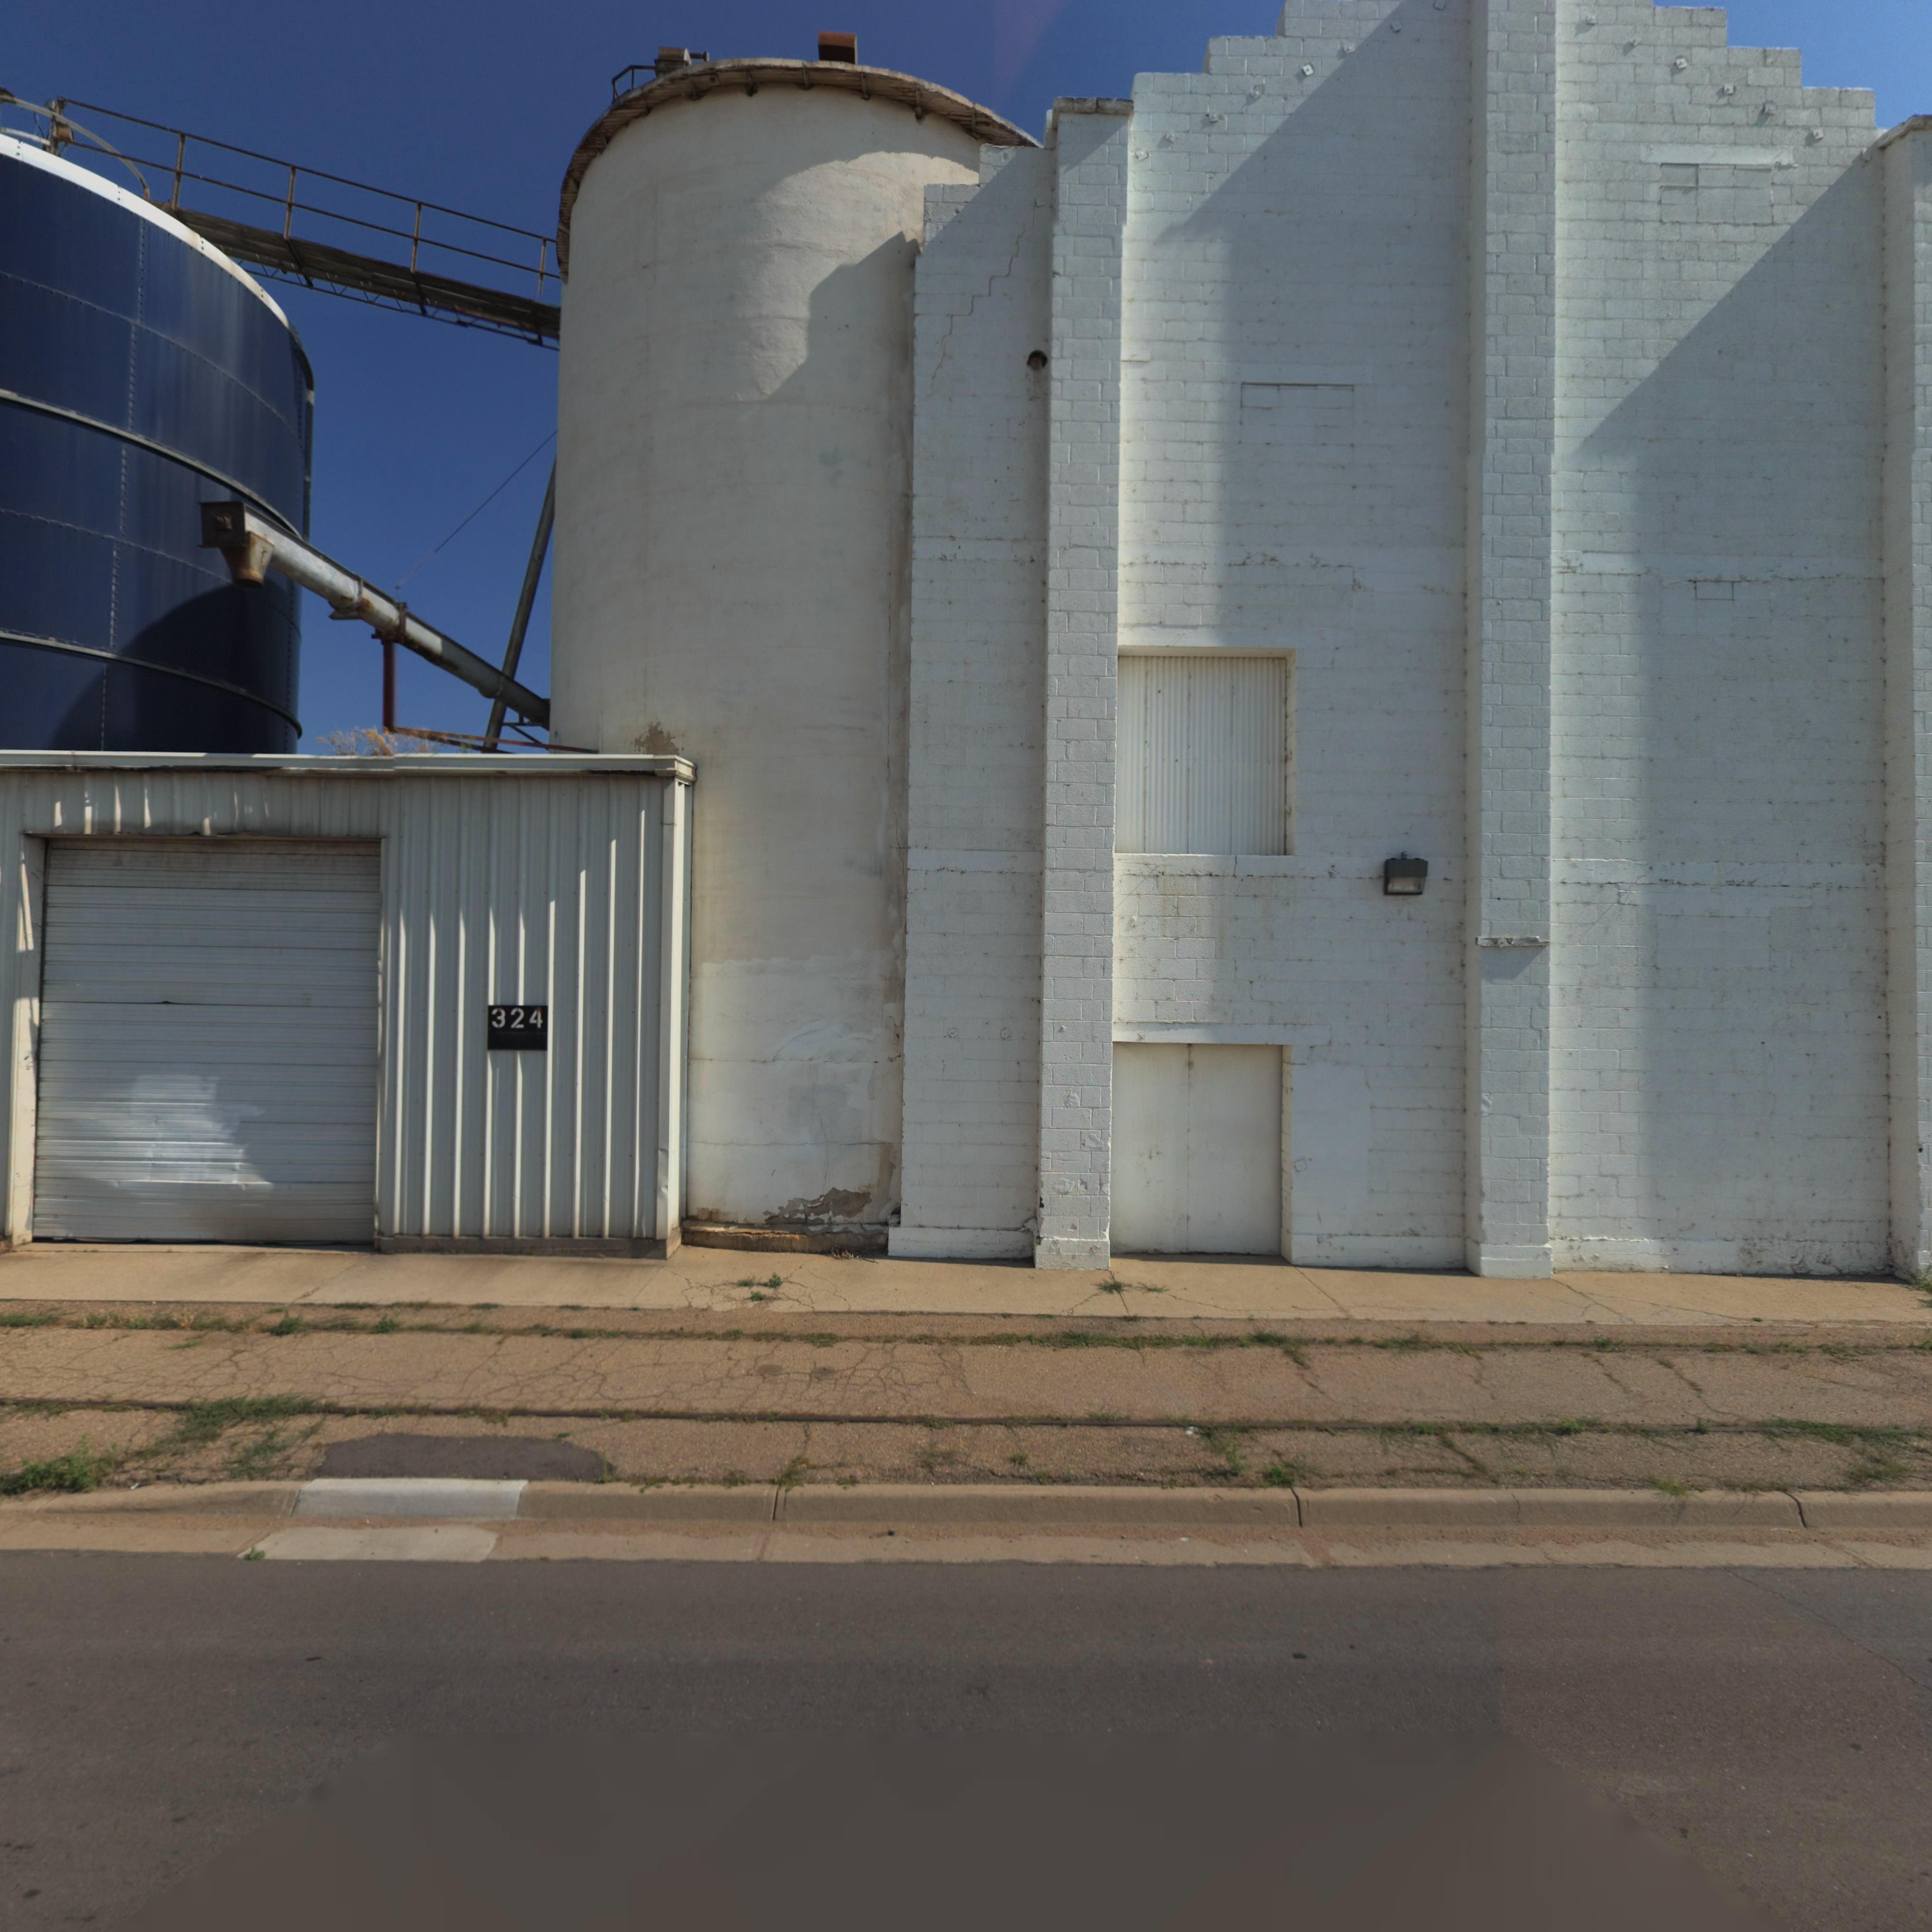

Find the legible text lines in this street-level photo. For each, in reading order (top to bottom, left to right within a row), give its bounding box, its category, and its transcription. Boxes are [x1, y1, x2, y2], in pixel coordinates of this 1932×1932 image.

[491, 1006, 543, 1029] StreetNumber: 324